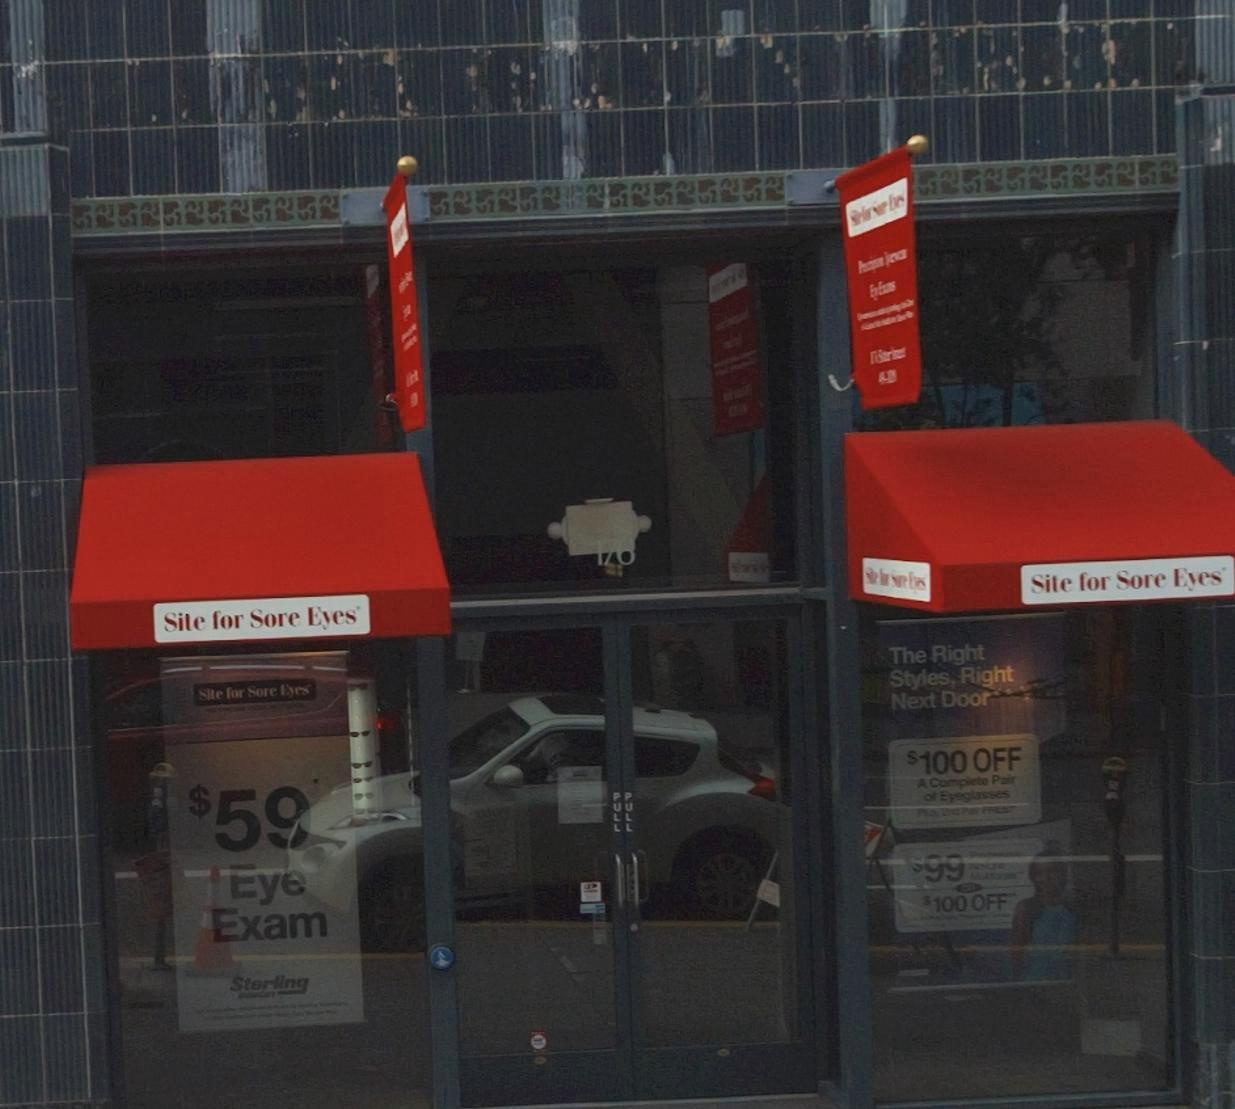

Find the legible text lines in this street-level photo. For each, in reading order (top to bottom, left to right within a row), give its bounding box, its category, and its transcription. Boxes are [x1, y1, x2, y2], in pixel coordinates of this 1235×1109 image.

[596, 538, 637, 567] StreetNumber: 176
[1030, 566, 1224, 597] BusinessName: Site for Sore Eyes
[163, 605, 359, 633] BusinessName: Site for Sore Eyes
[887, 642, 987, 666] None: The Right
[889, 663, 1016, 691] None: Styles, Right
[197, 683, 311, 701] None: Site for Sore Eyes
[890, 690, 994, 711] None: Next Door
[917, 745, 1023, 777] None: 100 OFF
[913, 773, 1018, 791] None: A Completo Pair
[923, 788, 1011, 804] None: of Eyeglasses
[212, 784, 315, 855] None: 59
[612, 789, 623, 834] None: PULL
[623, 789, 635, 833] None: PULL
[924, 851, 968, 884] None: 99
[228, 862, 308, 907] None: Eye
[932, 892, 1009, 913] None: 100 OFF
[210, 906, 331, 945] None: Exam
[228, 973, 311, 995] None: Sterling